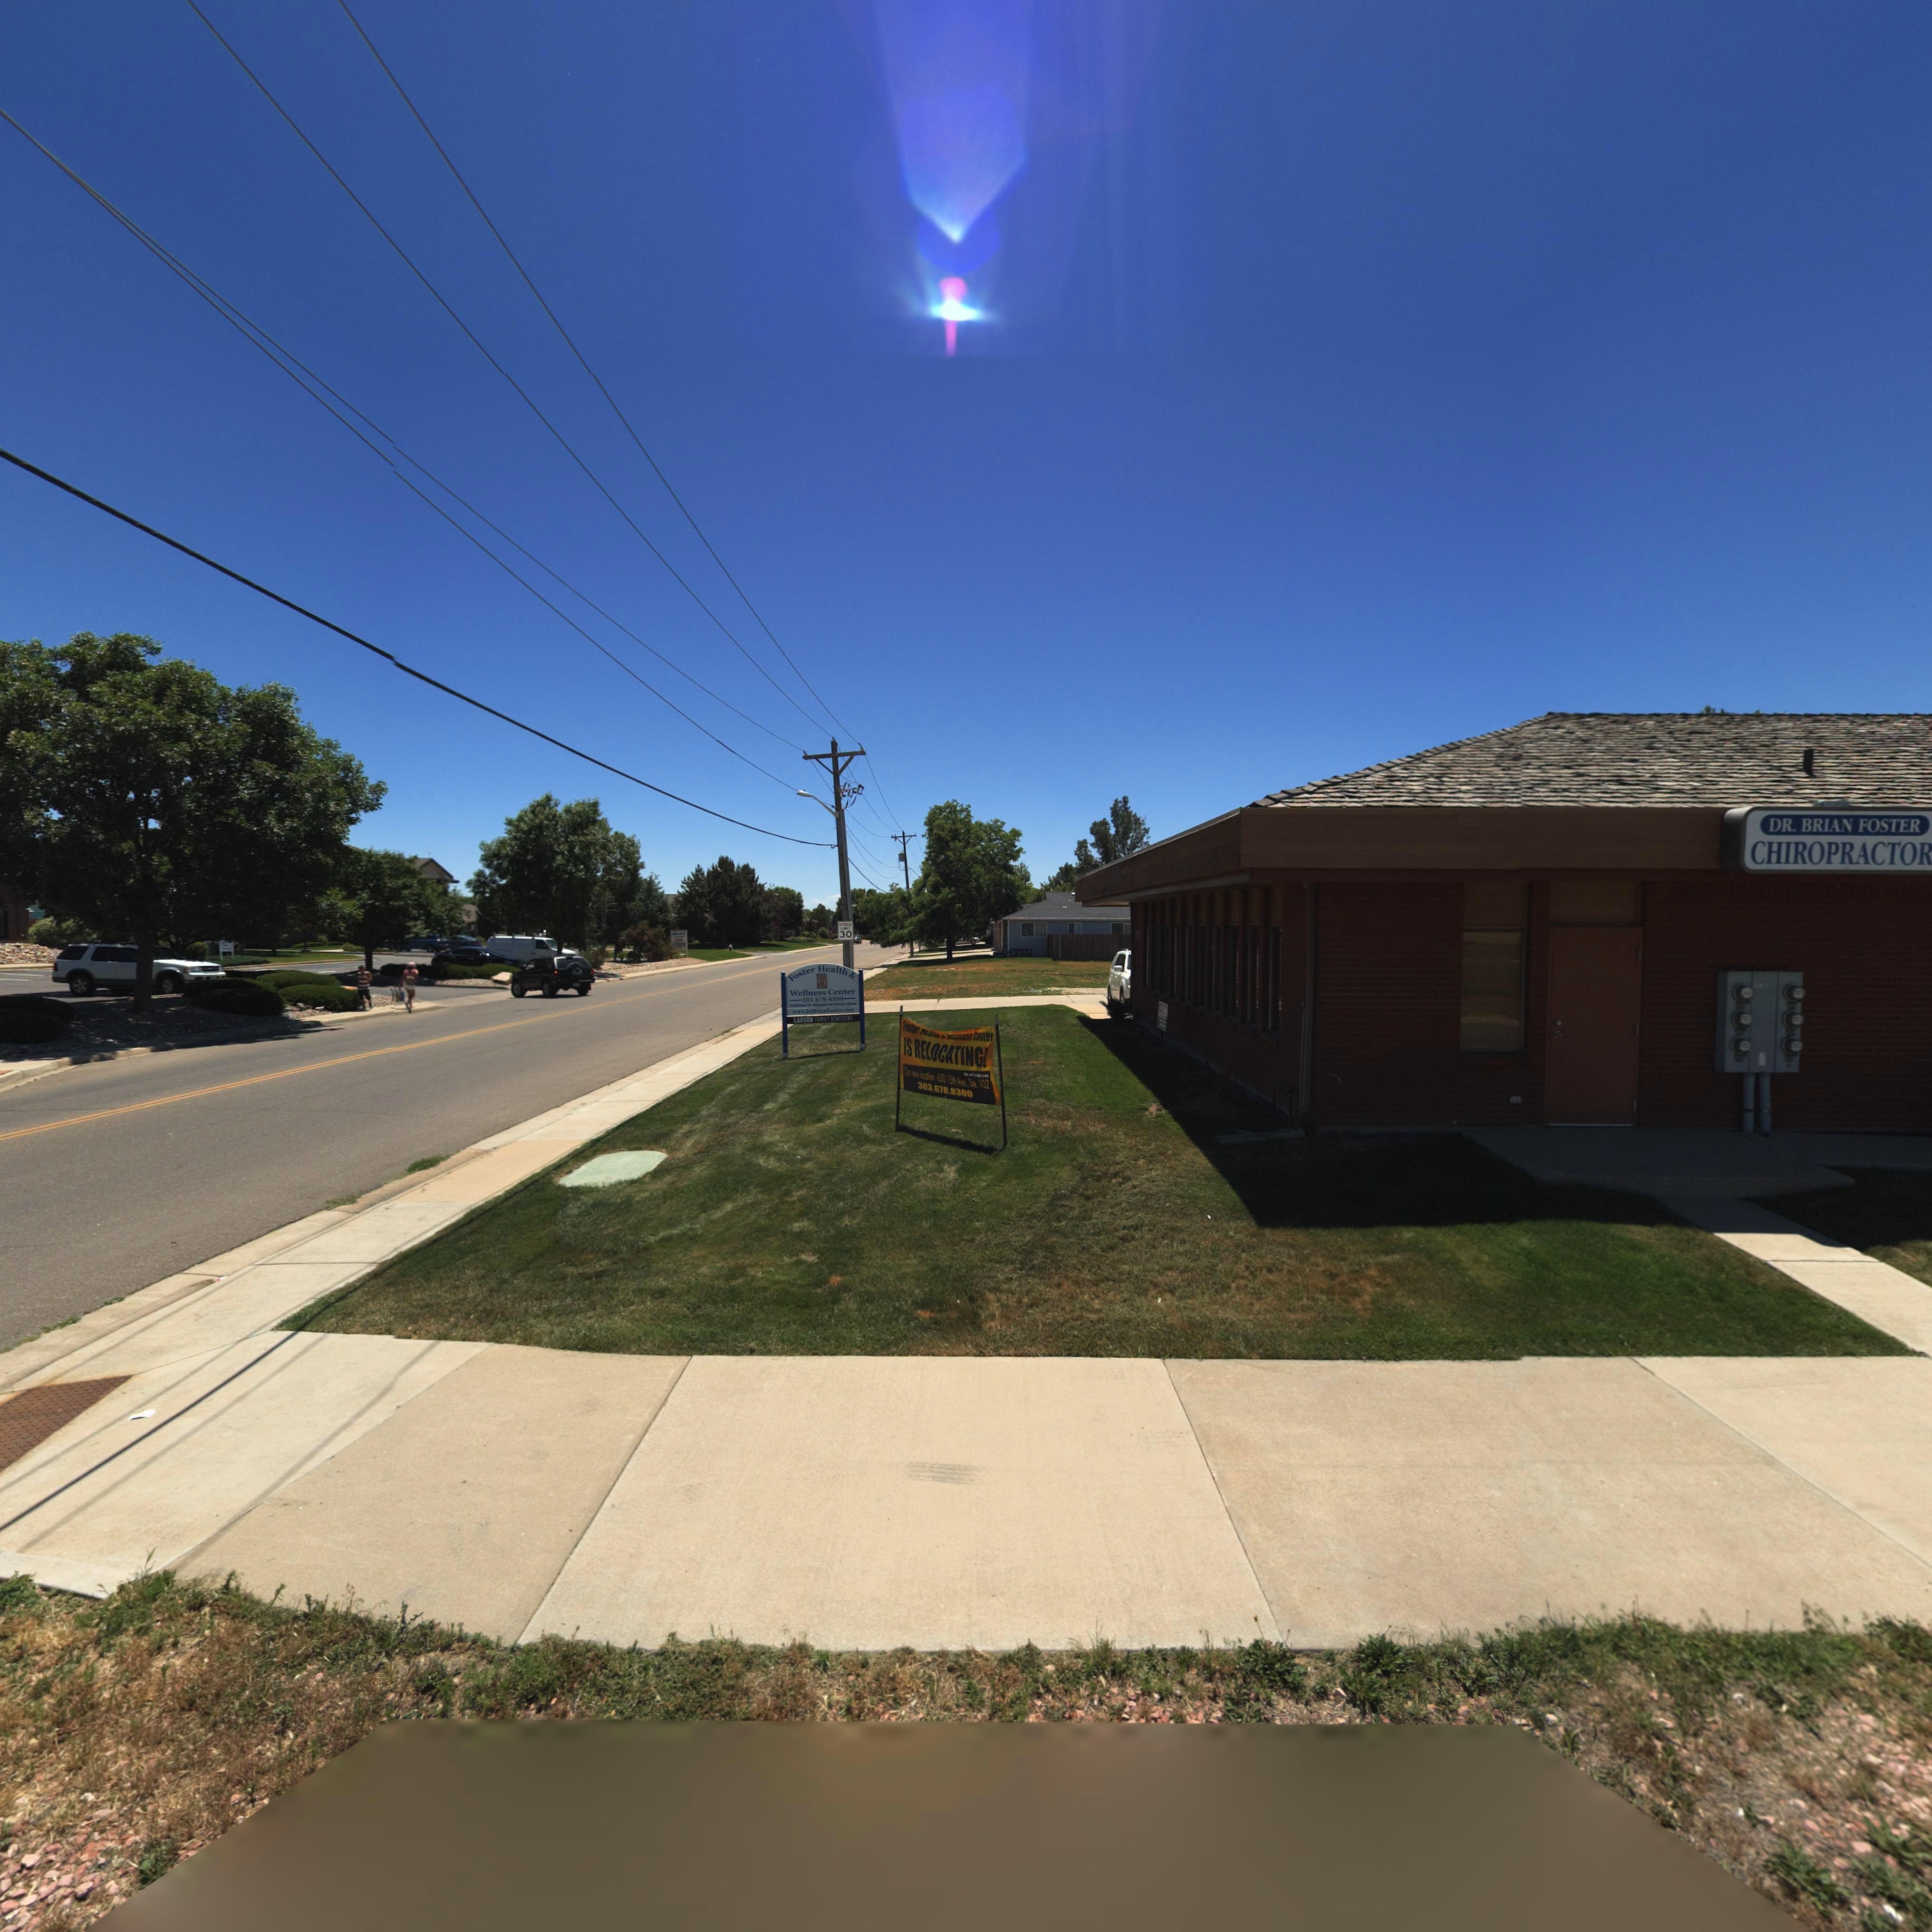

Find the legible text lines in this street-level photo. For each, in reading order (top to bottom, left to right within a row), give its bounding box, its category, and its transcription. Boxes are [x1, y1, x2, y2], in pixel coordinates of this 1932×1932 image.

[1768, 816, 1923, 833] BusinessName: DR. BRIAN FOSTER
[1747, 840, 1932, 866] BusinessName: CHIROPRACTOR
[787, 965, 857, 982] BusinessName: Foster Health &
[788, 988, 856, 996] BusinessName: Wellness Center
[792, 1015, 853, 1024] BusinessName: LARSON FAMILY DENTISTRY